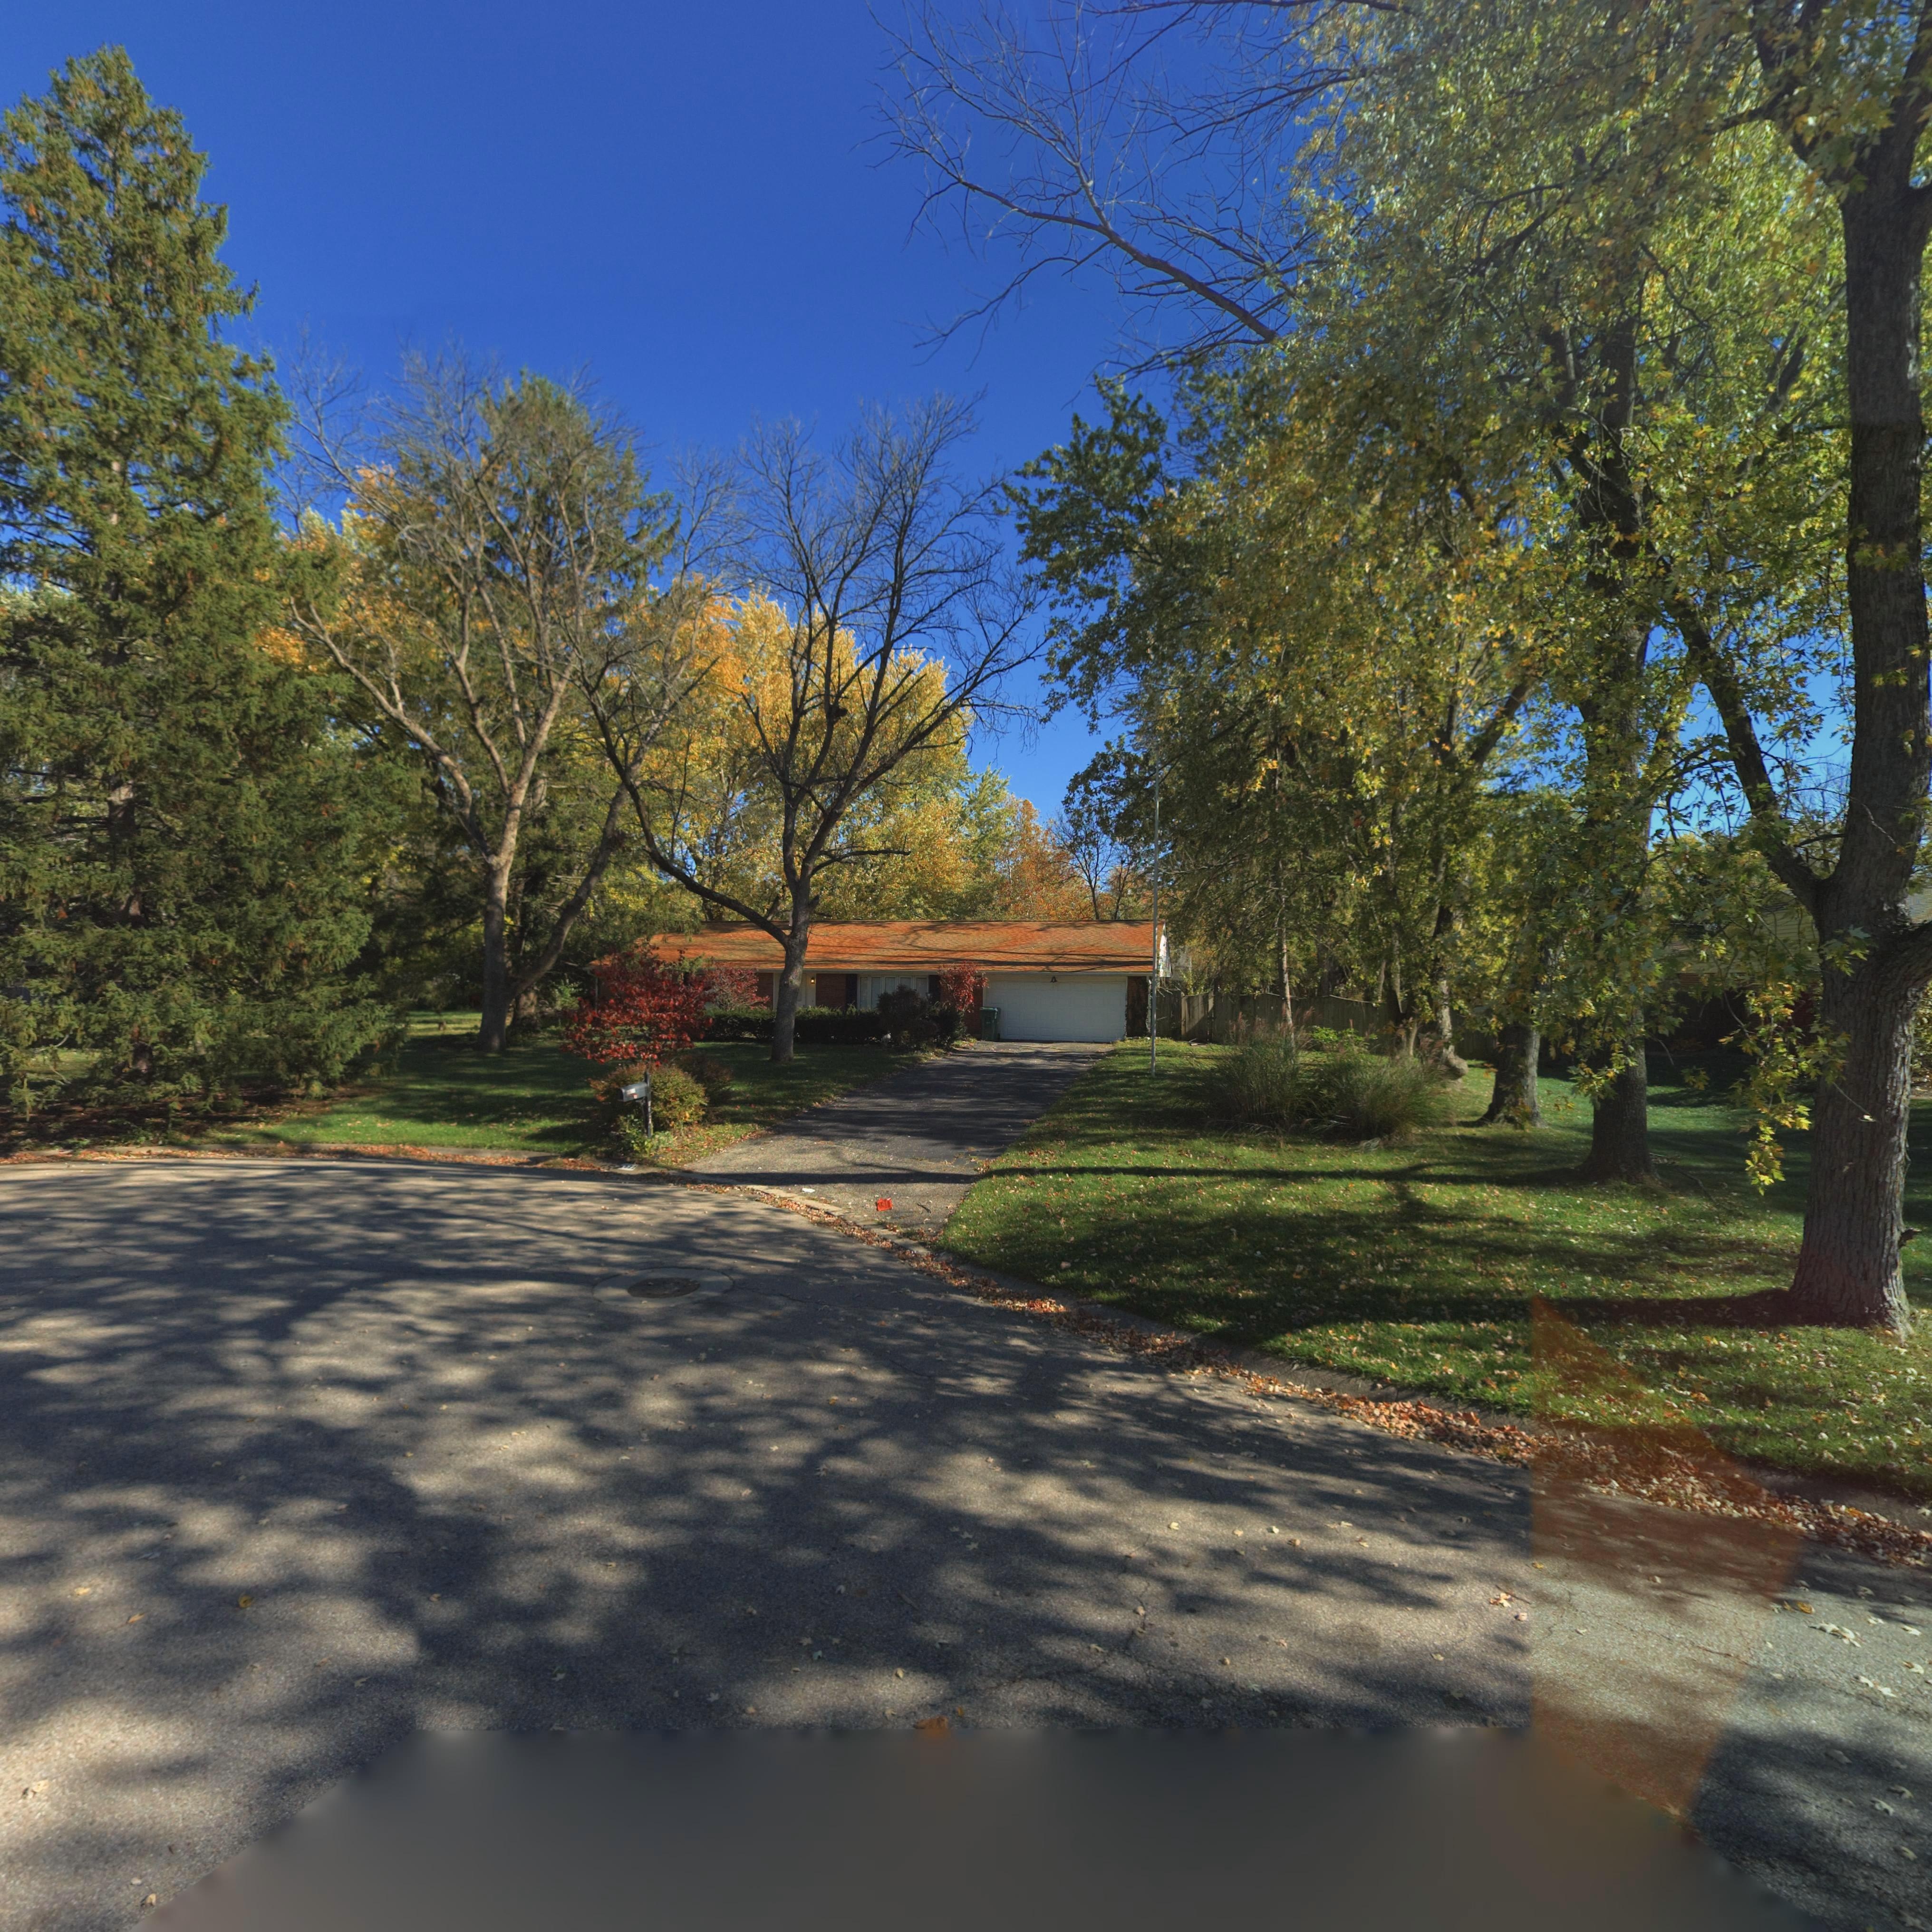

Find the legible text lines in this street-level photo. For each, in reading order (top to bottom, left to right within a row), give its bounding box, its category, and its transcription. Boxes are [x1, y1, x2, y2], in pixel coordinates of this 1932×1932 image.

[647, 1100, 652, 1124] StreetNumber: *6*2
[622, 1163, 638, 1169] StreetNumber: **2